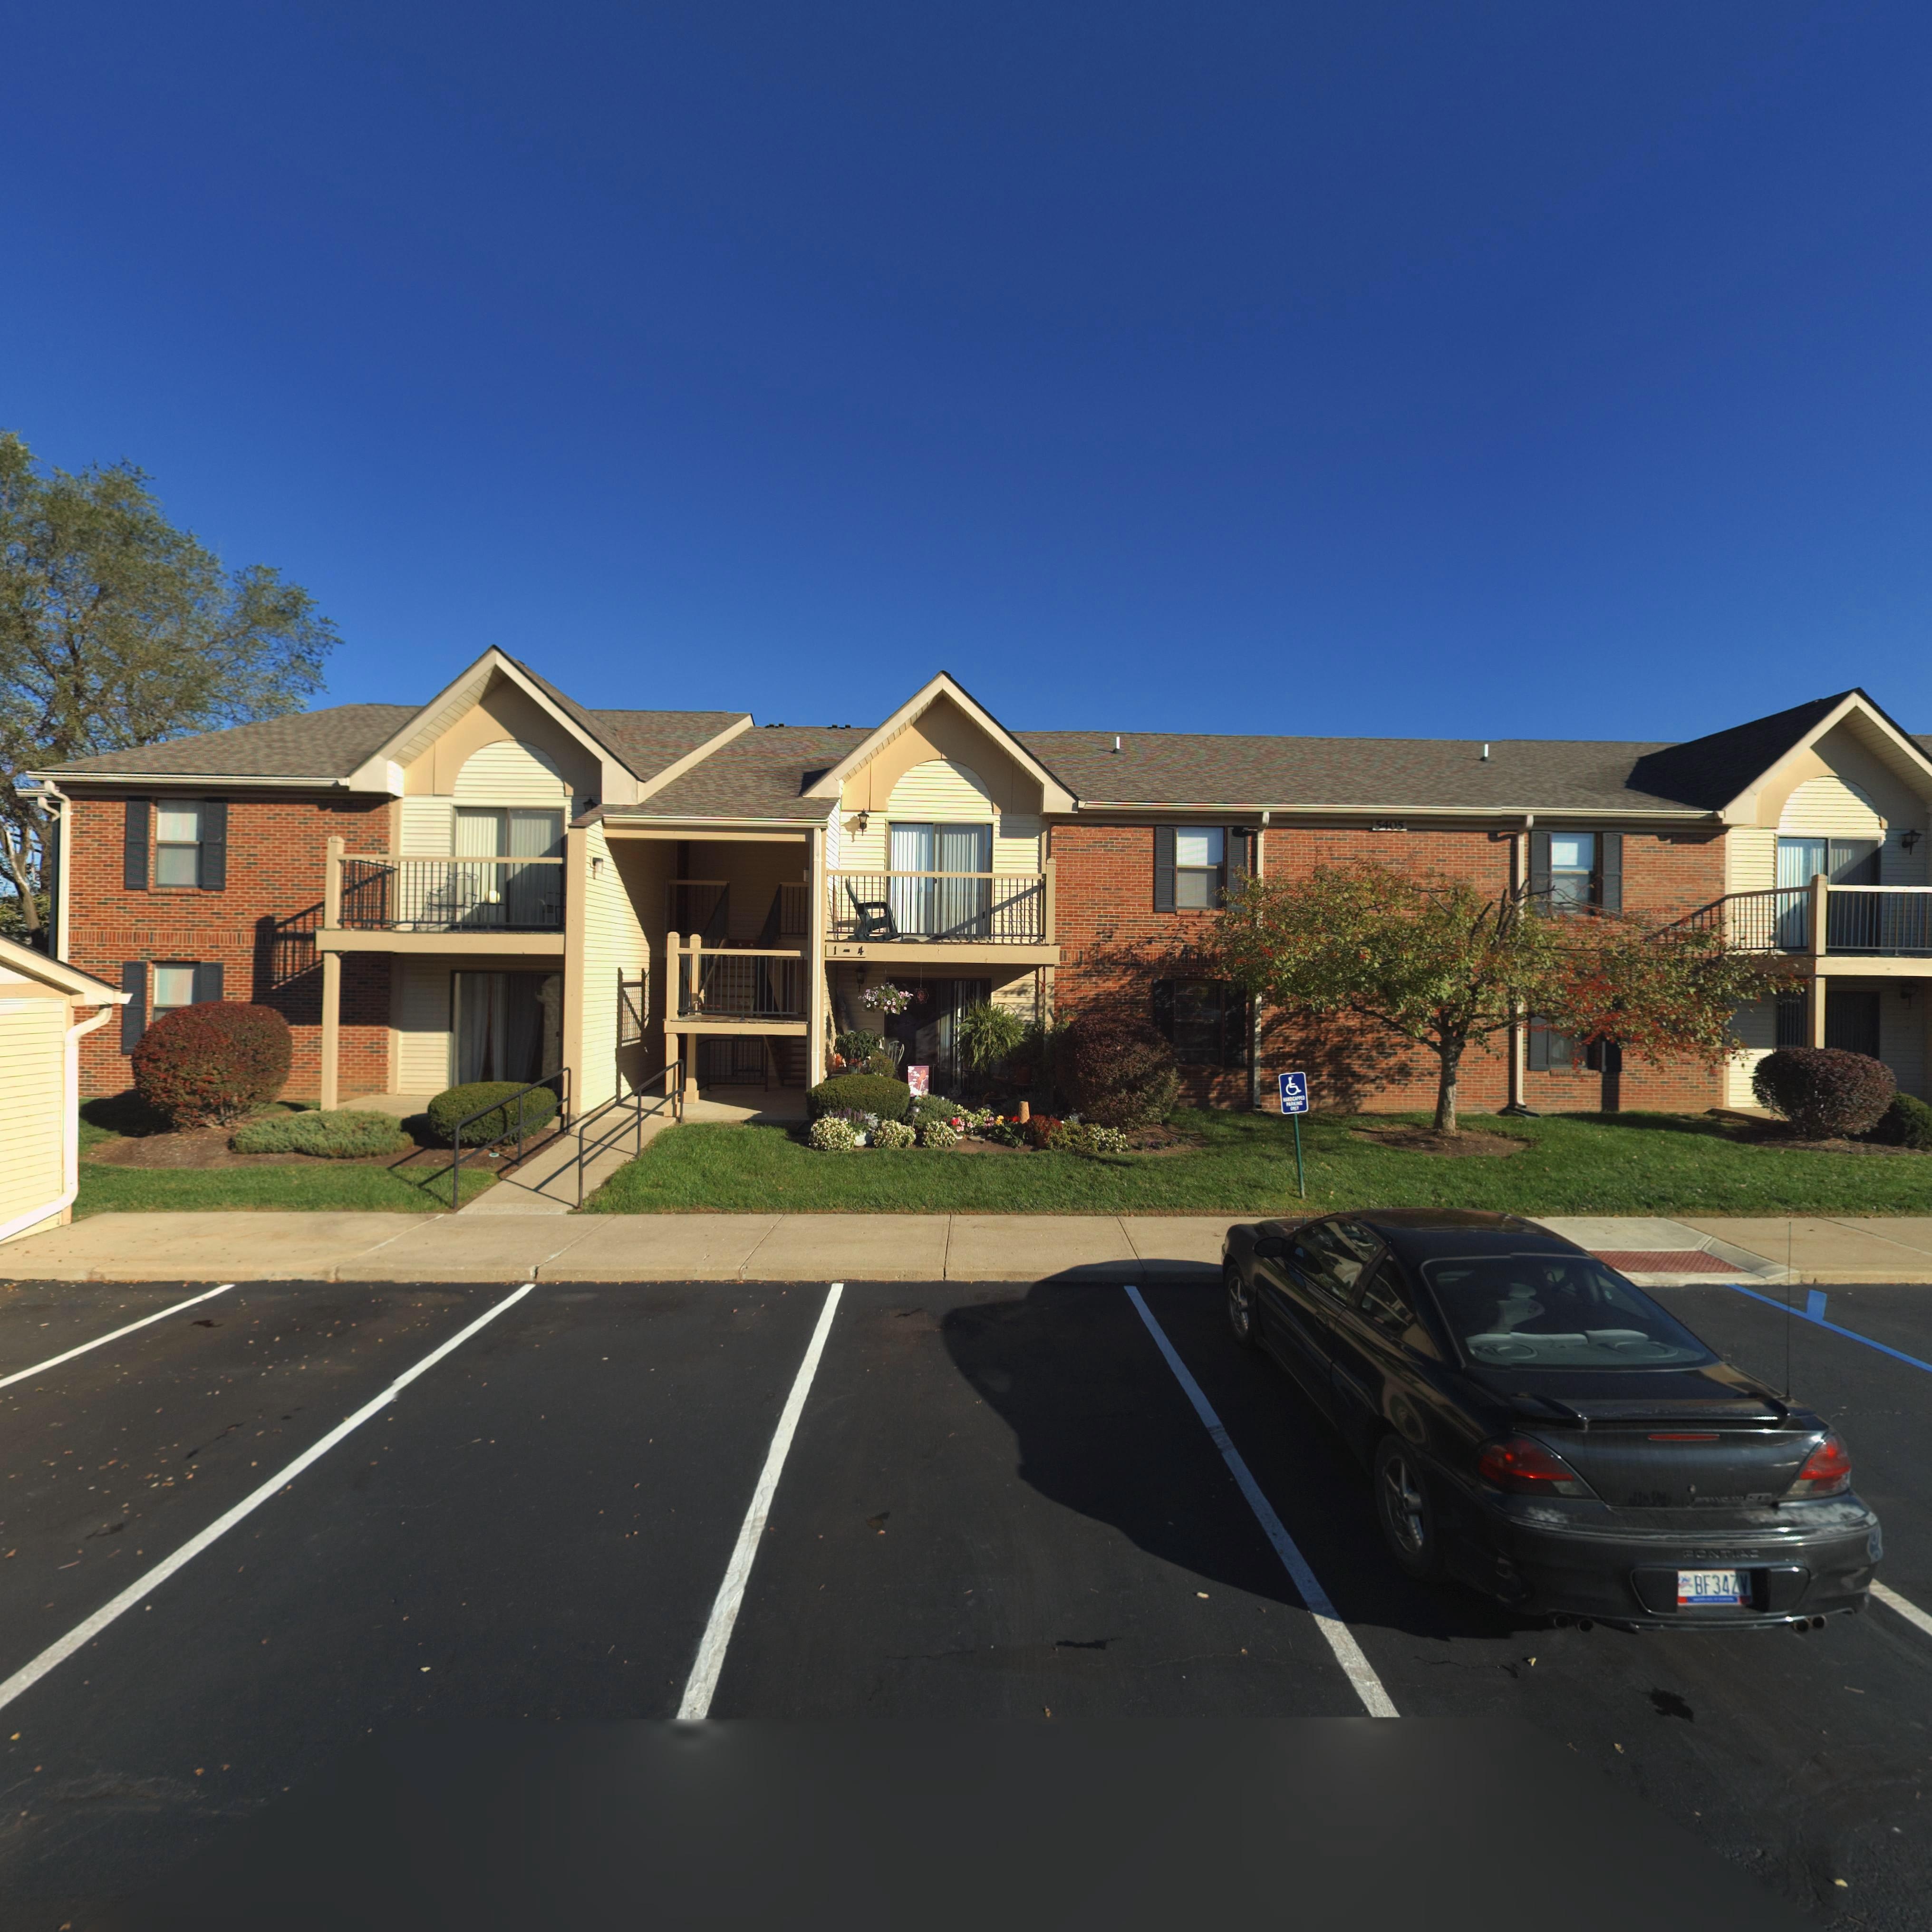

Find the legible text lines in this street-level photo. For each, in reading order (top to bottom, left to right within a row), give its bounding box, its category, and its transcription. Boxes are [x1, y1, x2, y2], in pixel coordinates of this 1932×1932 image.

[832, 945, 864, 956] StreetNumber: 1-4